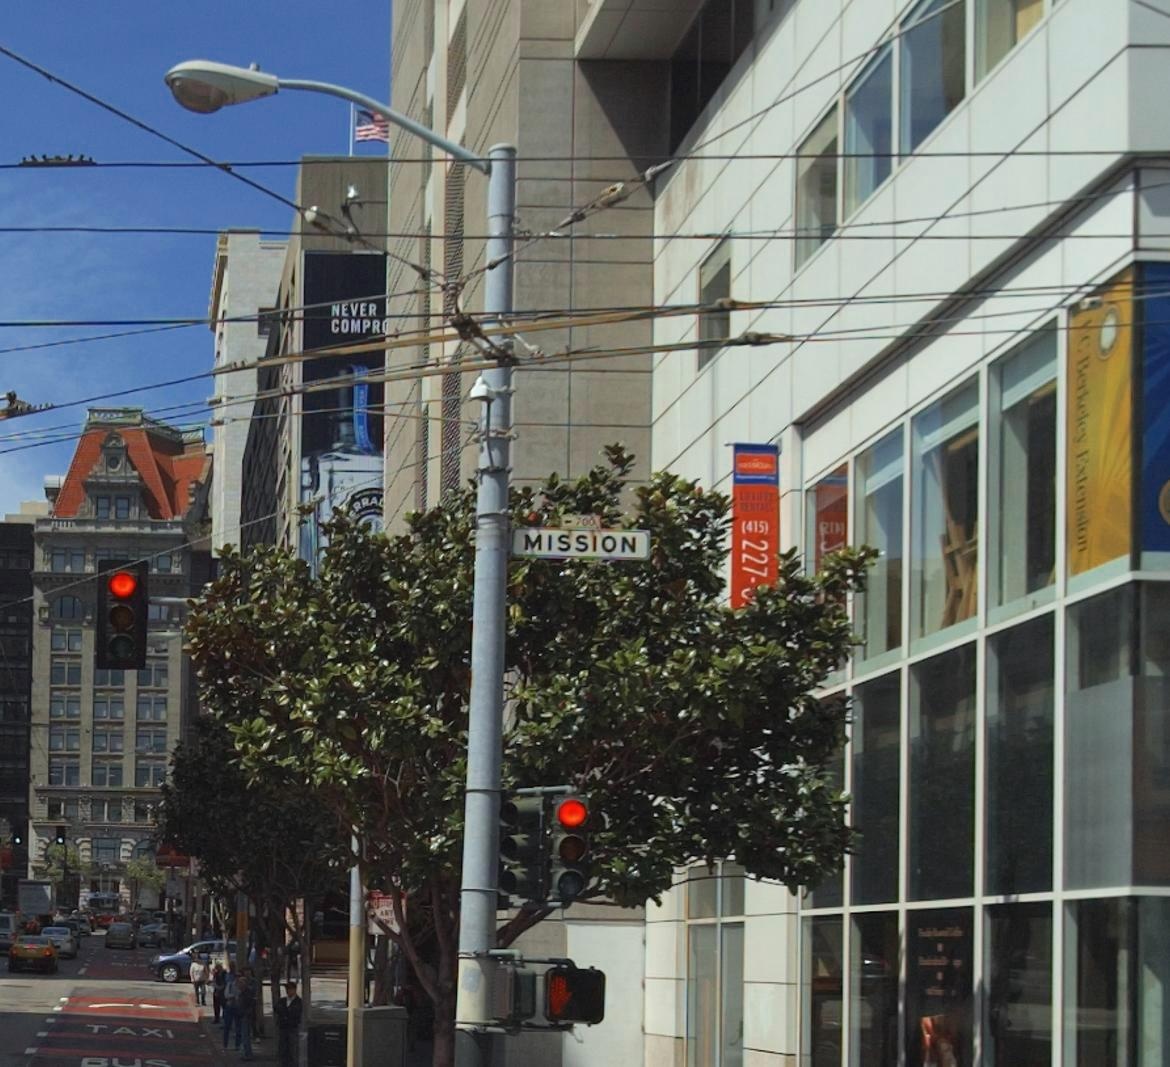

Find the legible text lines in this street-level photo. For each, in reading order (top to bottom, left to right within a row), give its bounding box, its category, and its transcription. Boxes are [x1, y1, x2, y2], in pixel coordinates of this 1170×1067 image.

[331, 301, 378, 318] None: NEVER
[330, 317, 386, 333] None: COMPR*
[1074, 315, 1093, 555] None: *C Berkeley Extension
[350, 494, 385, 515] None: RRA*
[560, 513, 597, 527] StreetNumberRange: <-700
[740, 517, 767, 534] None: (415)
[523, 533, 637, 554] StreetName: MISSION
[741, 538, 767, 582] None: 227-
[378, 908, 394, 917] None: ANY